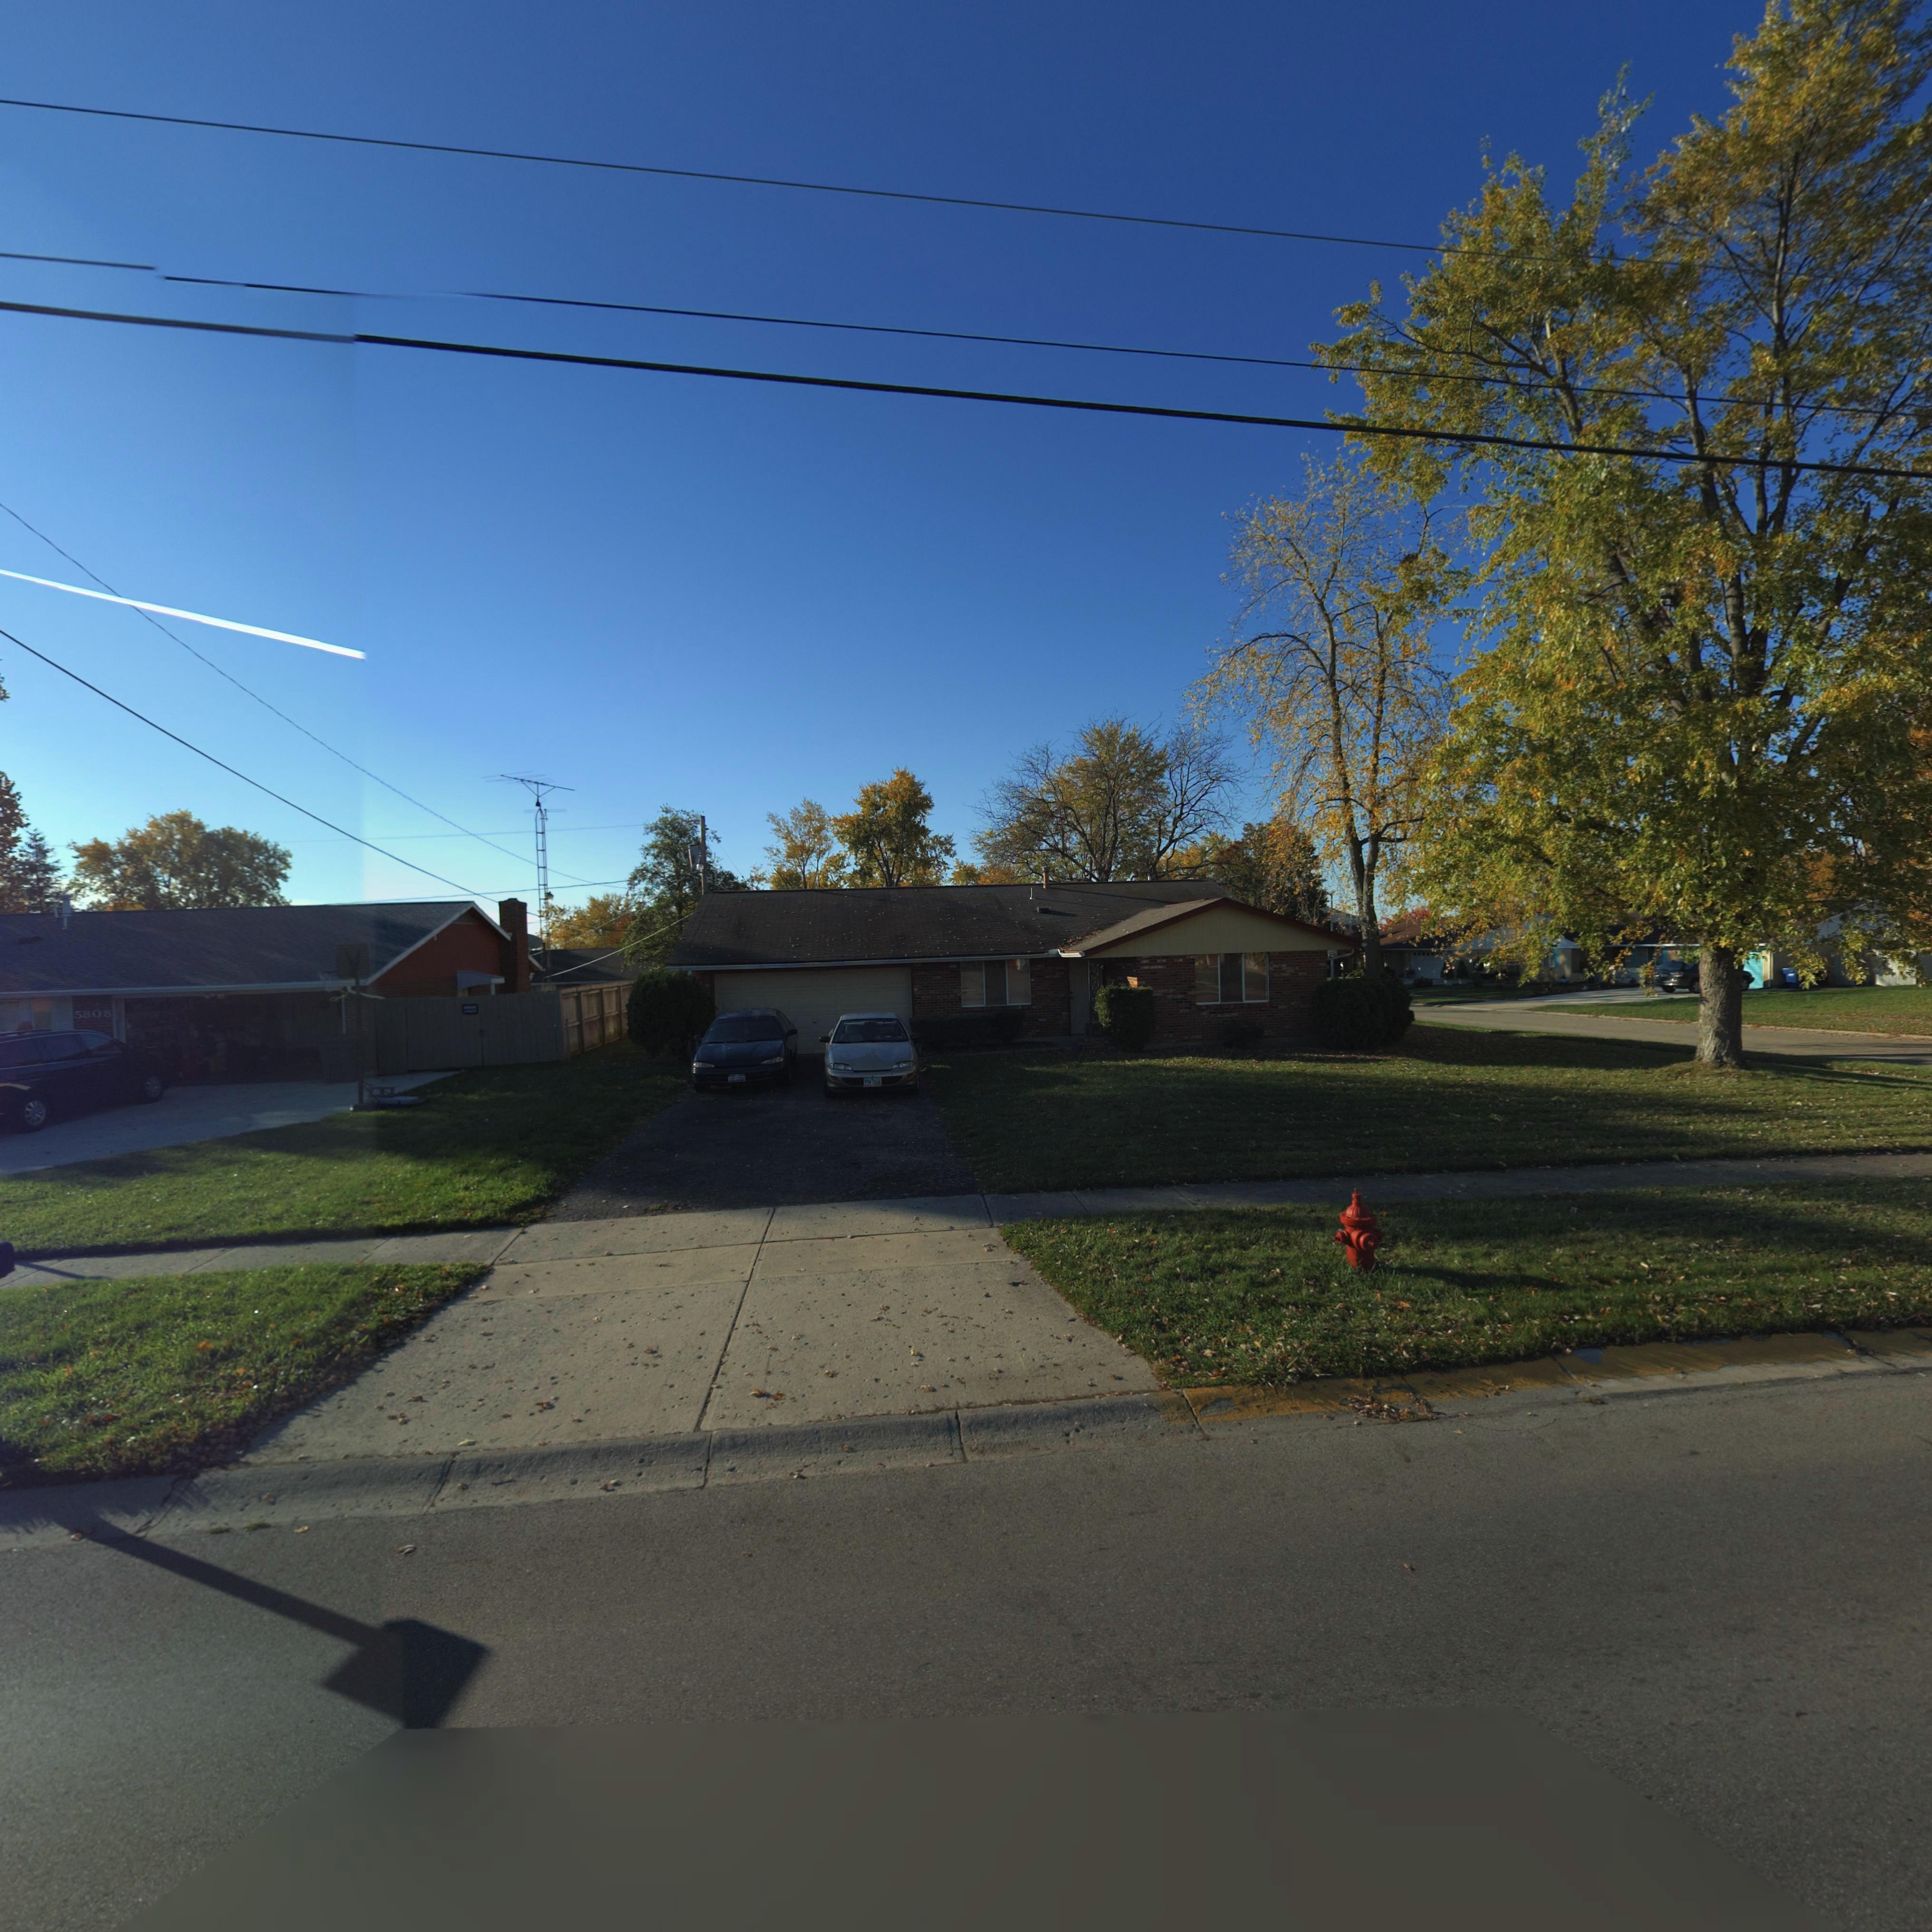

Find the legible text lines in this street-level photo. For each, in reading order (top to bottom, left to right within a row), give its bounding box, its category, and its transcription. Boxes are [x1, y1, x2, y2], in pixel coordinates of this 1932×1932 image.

[73, 1008, 112, 1020] StreetNumber: 5808